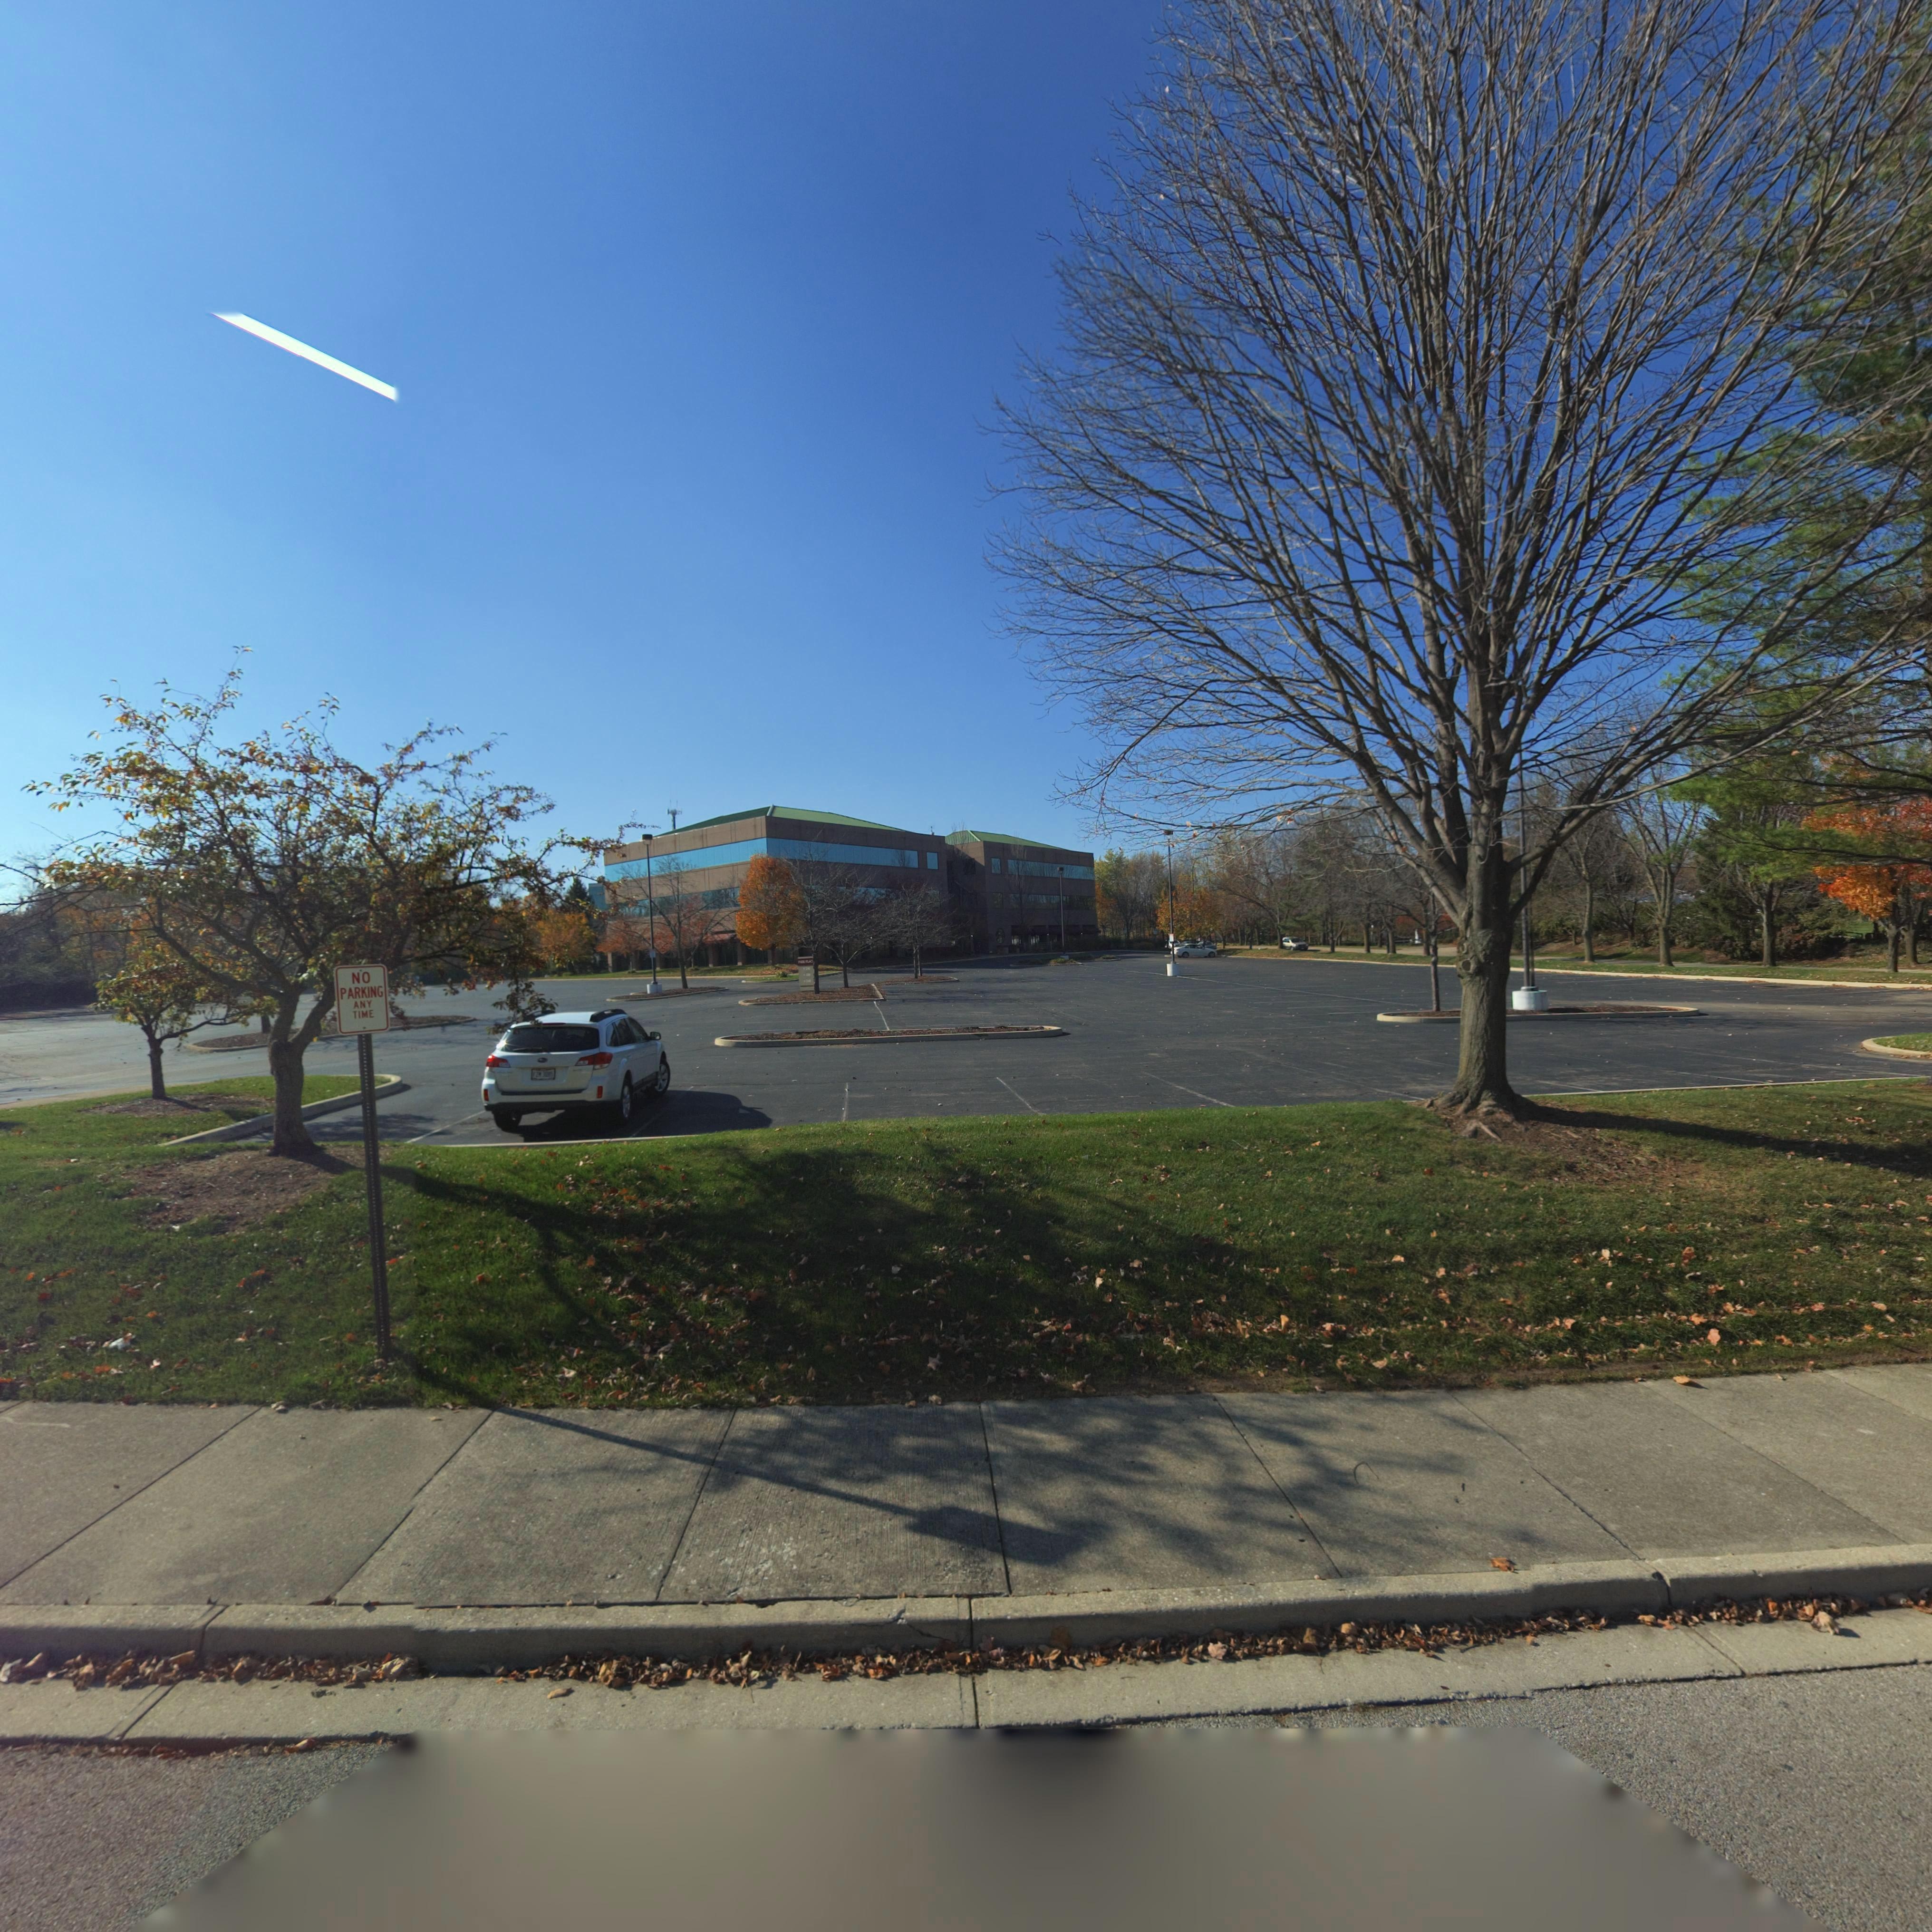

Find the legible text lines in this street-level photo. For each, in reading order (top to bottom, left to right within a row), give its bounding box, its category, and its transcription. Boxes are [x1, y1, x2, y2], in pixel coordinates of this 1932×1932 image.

[351, 971, 371, 985] None: NO
[340, 985, 383, 1000] None: PARKING
[354, 999, 372, 1009] None: ANY
[352, 1009, 374, 1019] None: TIME
[532, 1071, 553, 1077] None: FZM 3085